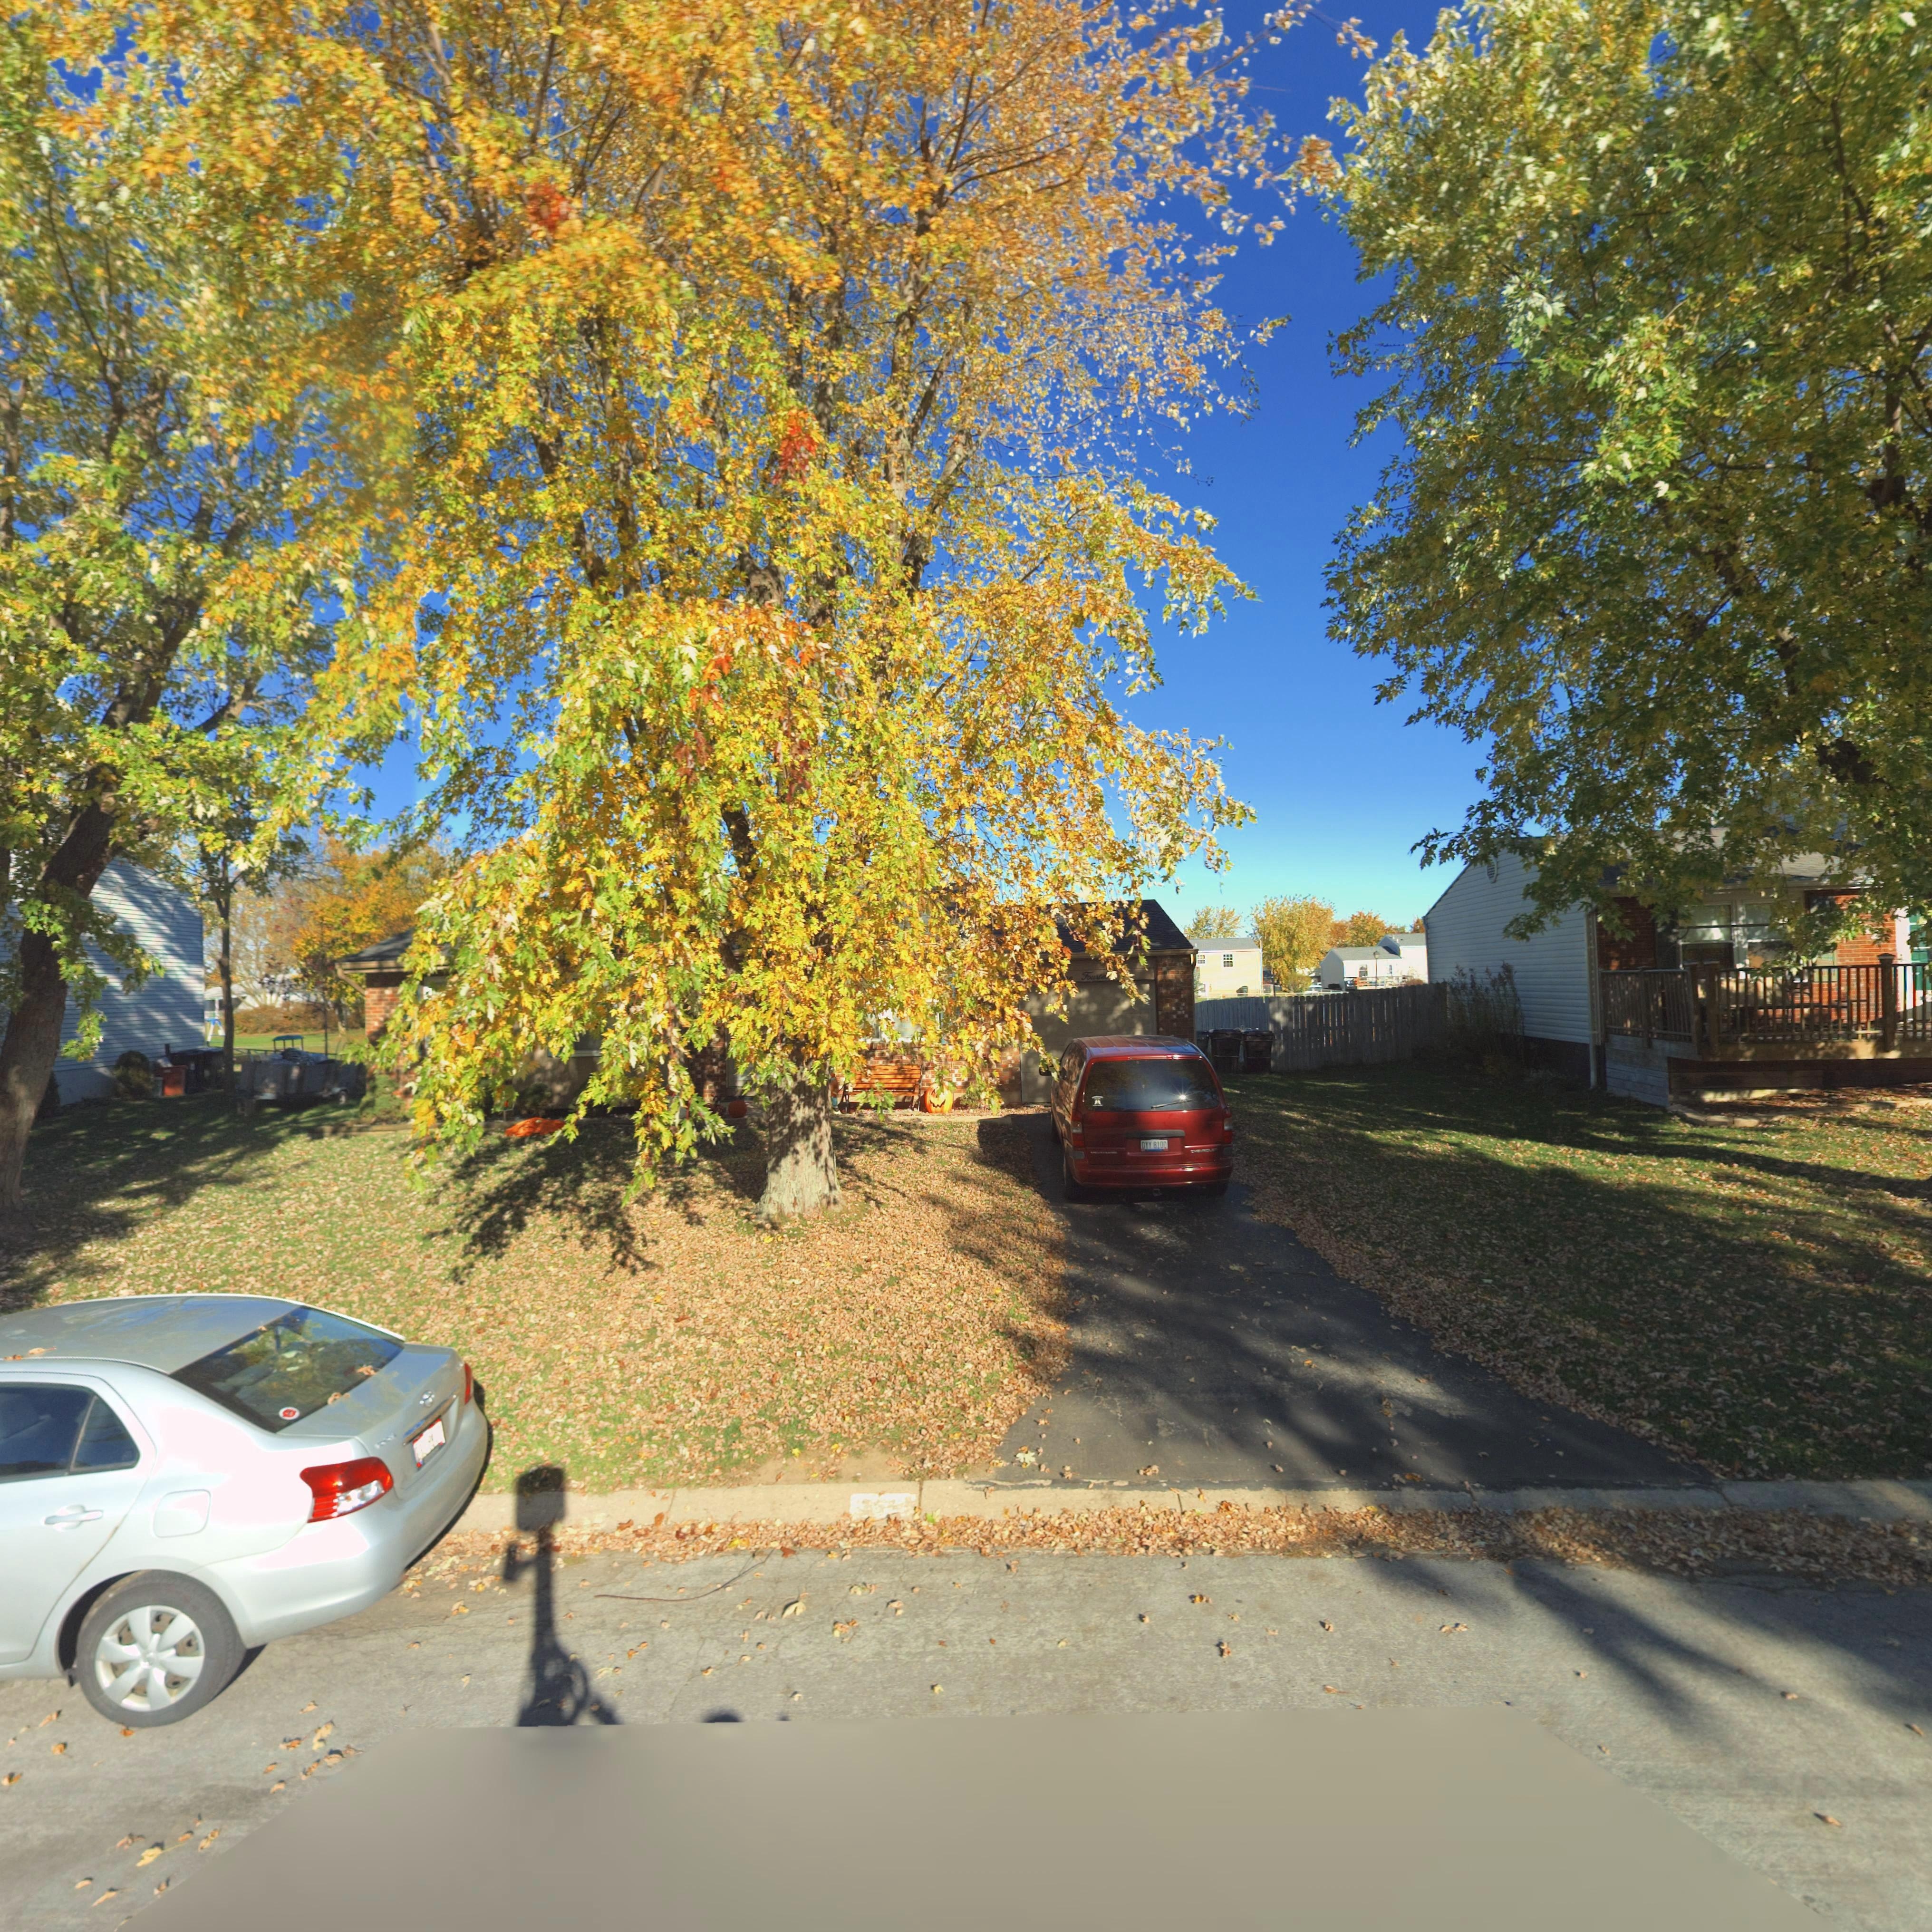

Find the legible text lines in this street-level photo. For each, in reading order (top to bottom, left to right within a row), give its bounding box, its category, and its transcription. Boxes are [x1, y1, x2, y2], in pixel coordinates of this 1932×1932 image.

[1080, 971, 1106, 981] StreetNumber: Fourte